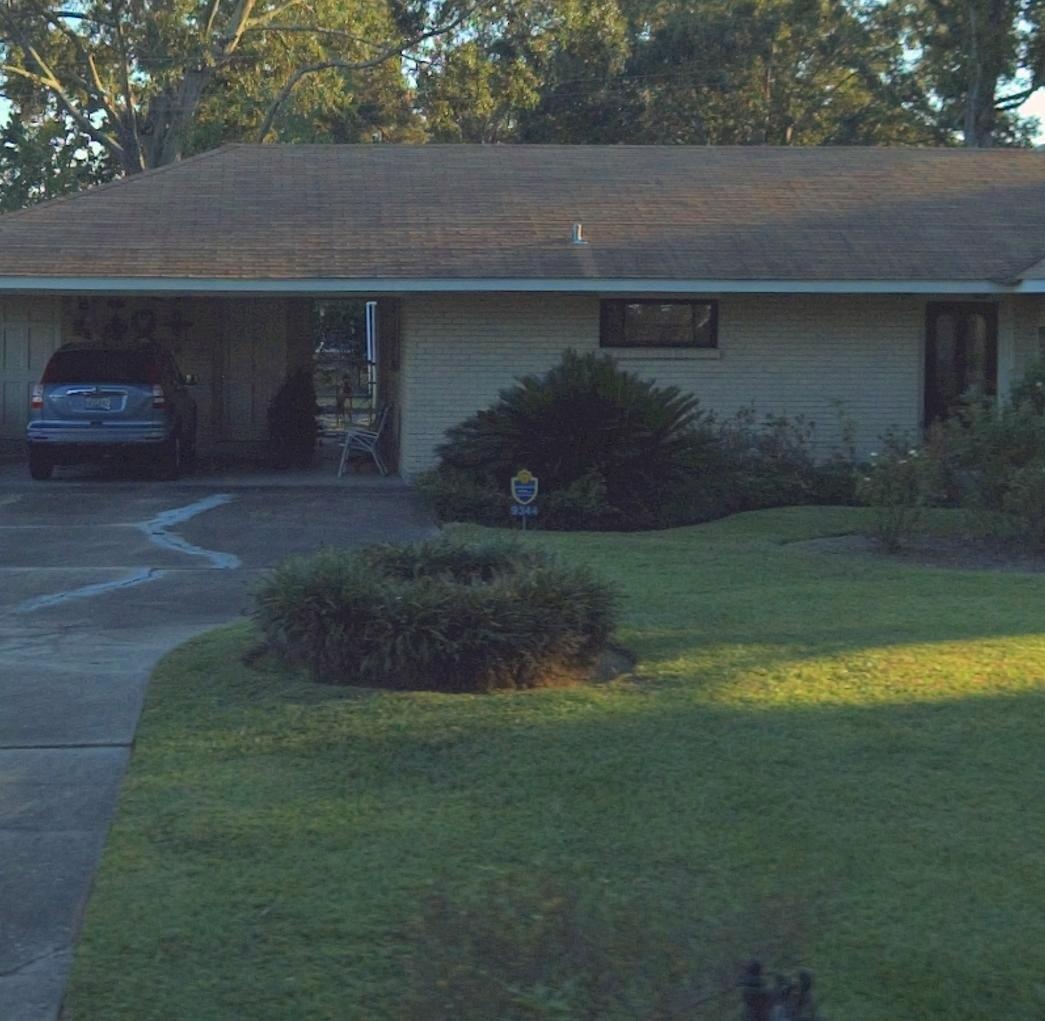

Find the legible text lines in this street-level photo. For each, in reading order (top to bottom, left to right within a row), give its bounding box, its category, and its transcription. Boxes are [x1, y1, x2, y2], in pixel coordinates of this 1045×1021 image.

[510, 505, 540, 516] StreetNumber: 9344